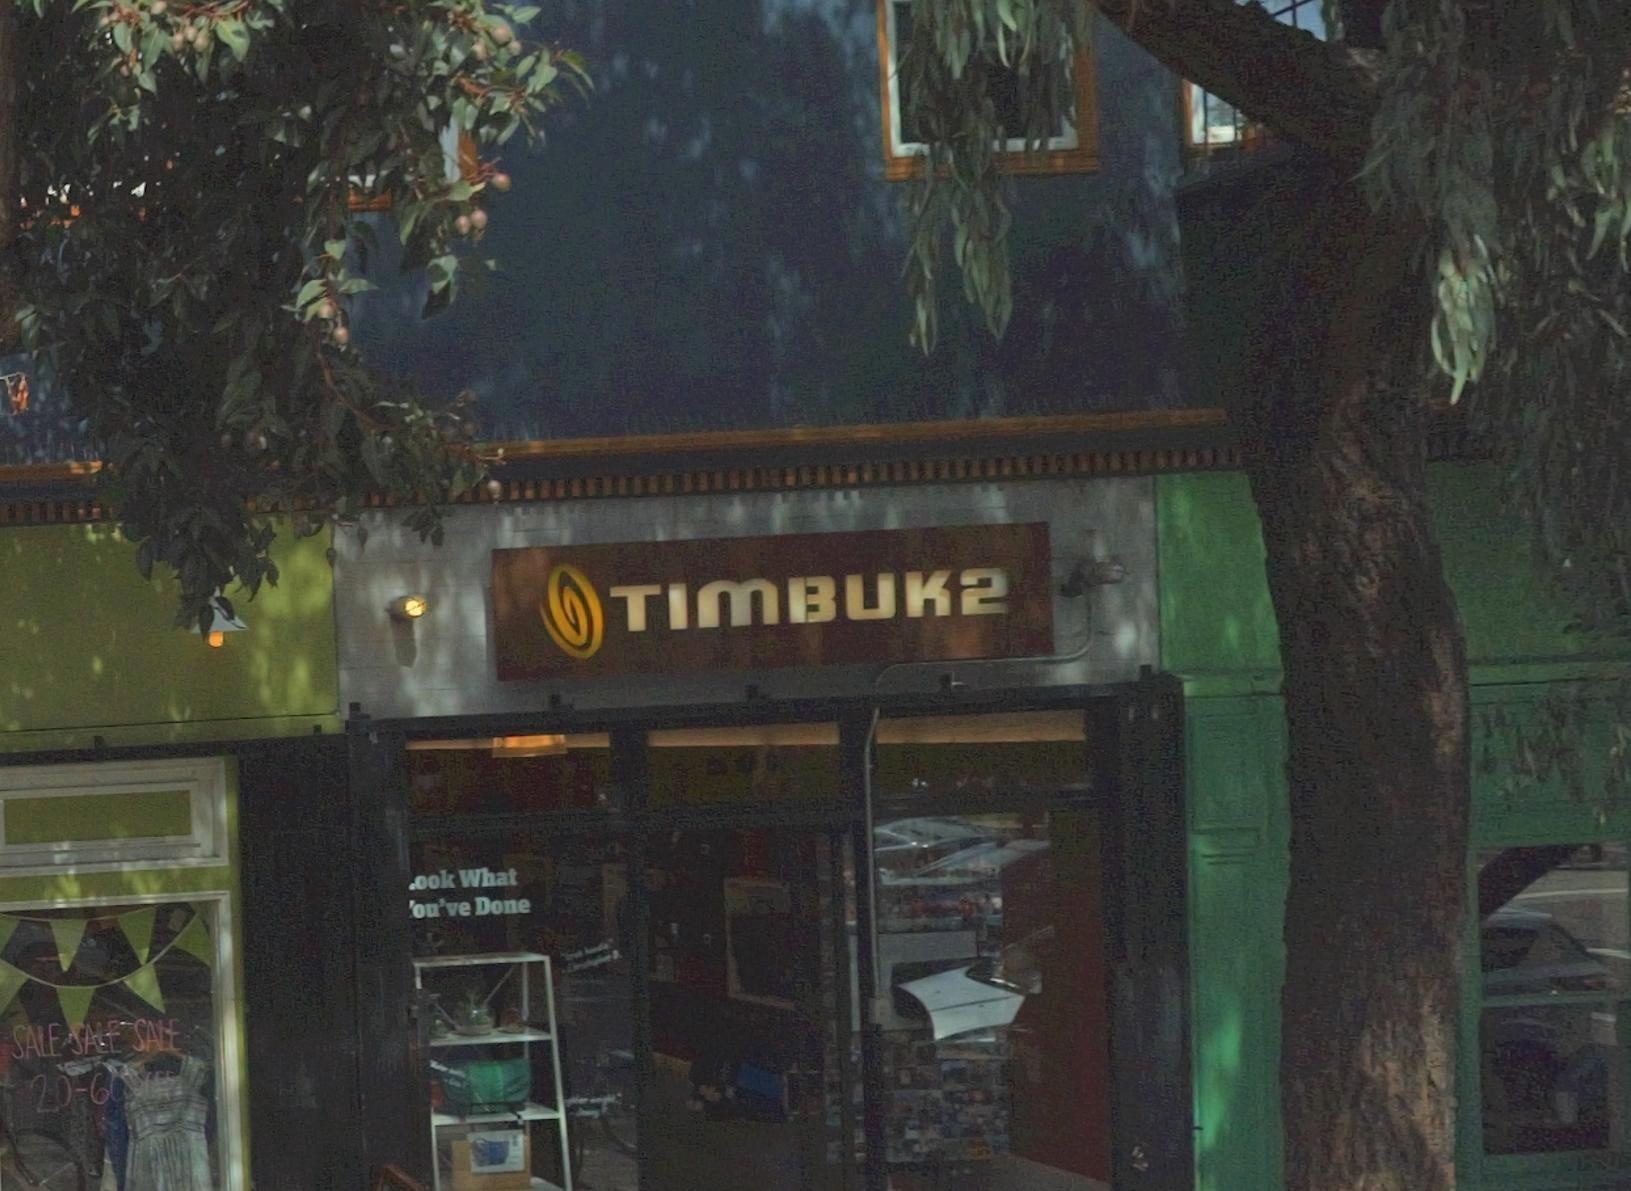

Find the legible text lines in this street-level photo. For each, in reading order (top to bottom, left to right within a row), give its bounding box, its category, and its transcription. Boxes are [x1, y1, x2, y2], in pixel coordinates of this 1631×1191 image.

[603, 564, 1014, 634] BusinessName: TIMBUK2
[411, 865, 522, 893] None: ook What
[411, 894, 534, 921] None: ou've Done
[6, 1013, 185, 1063] None: SALE SALE SALE
[25, 1065, 178, 1116] None: 20-60*OFF